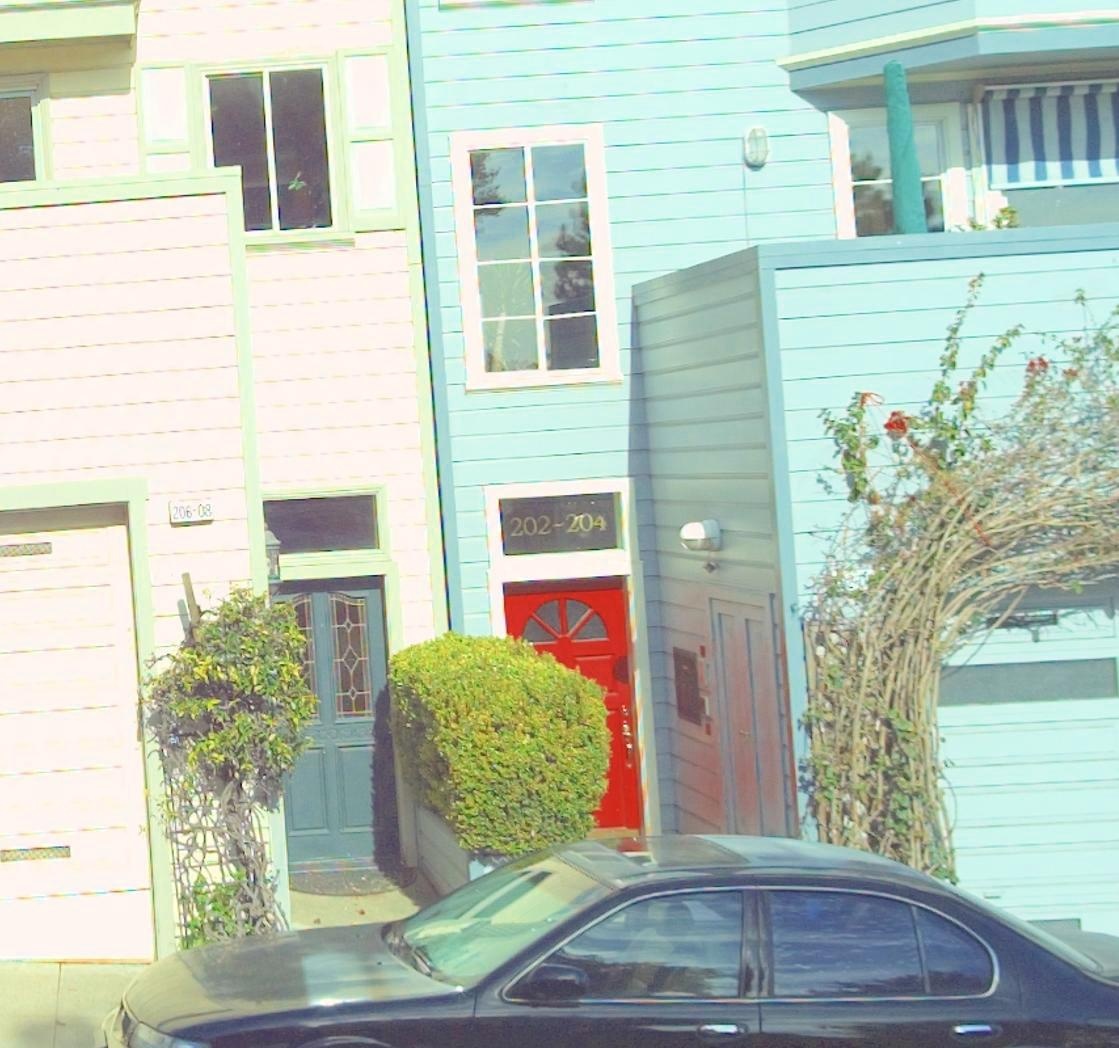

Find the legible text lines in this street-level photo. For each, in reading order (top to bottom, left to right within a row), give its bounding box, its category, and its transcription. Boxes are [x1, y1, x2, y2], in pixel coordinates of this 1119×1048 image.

[171, 504, 193, 520] StreetNumber: 206
[197, 502, 213, 519] StreetNumber: 08
[509, 514, 553, 537] StreetNumber: 202-204
[564, 512, 609, 535] StreetNumber: 204